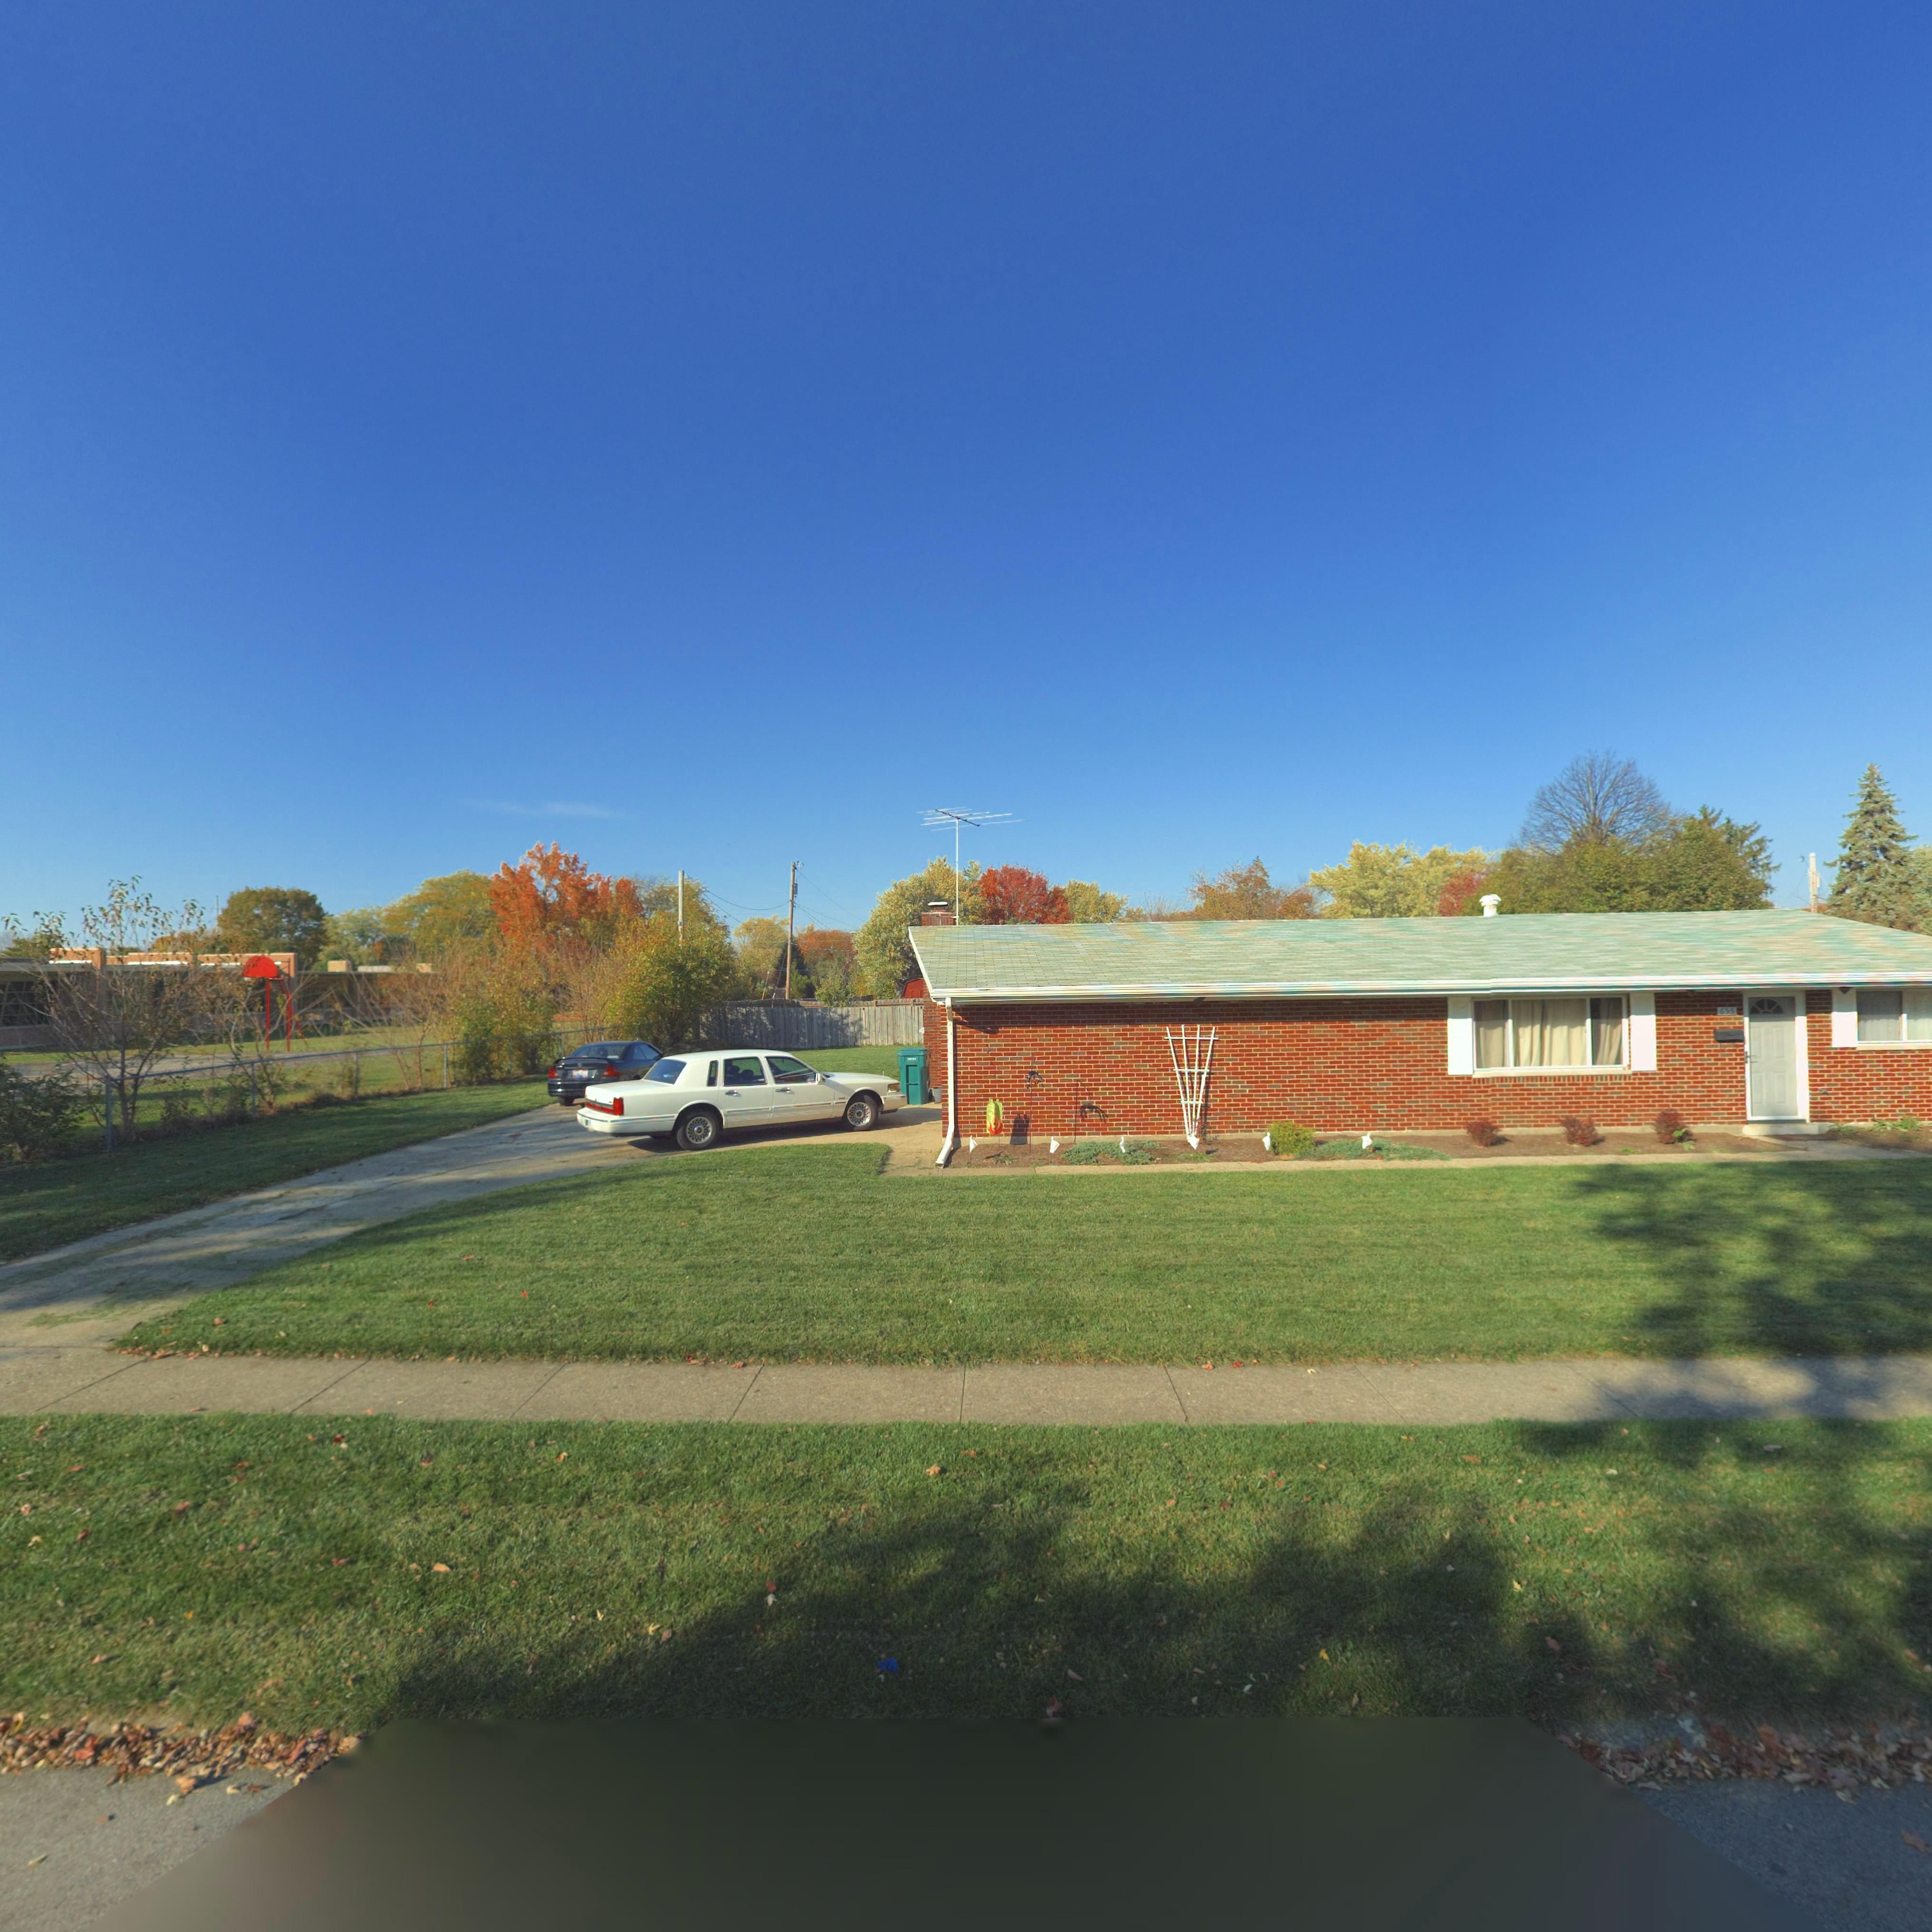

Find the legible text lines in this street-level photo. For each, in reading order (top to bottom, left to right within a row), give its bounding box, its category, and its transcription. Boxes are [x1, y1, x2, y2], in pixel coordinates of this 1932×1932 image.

[1719, 1007, 1734, 1014] StreetNumber: 655